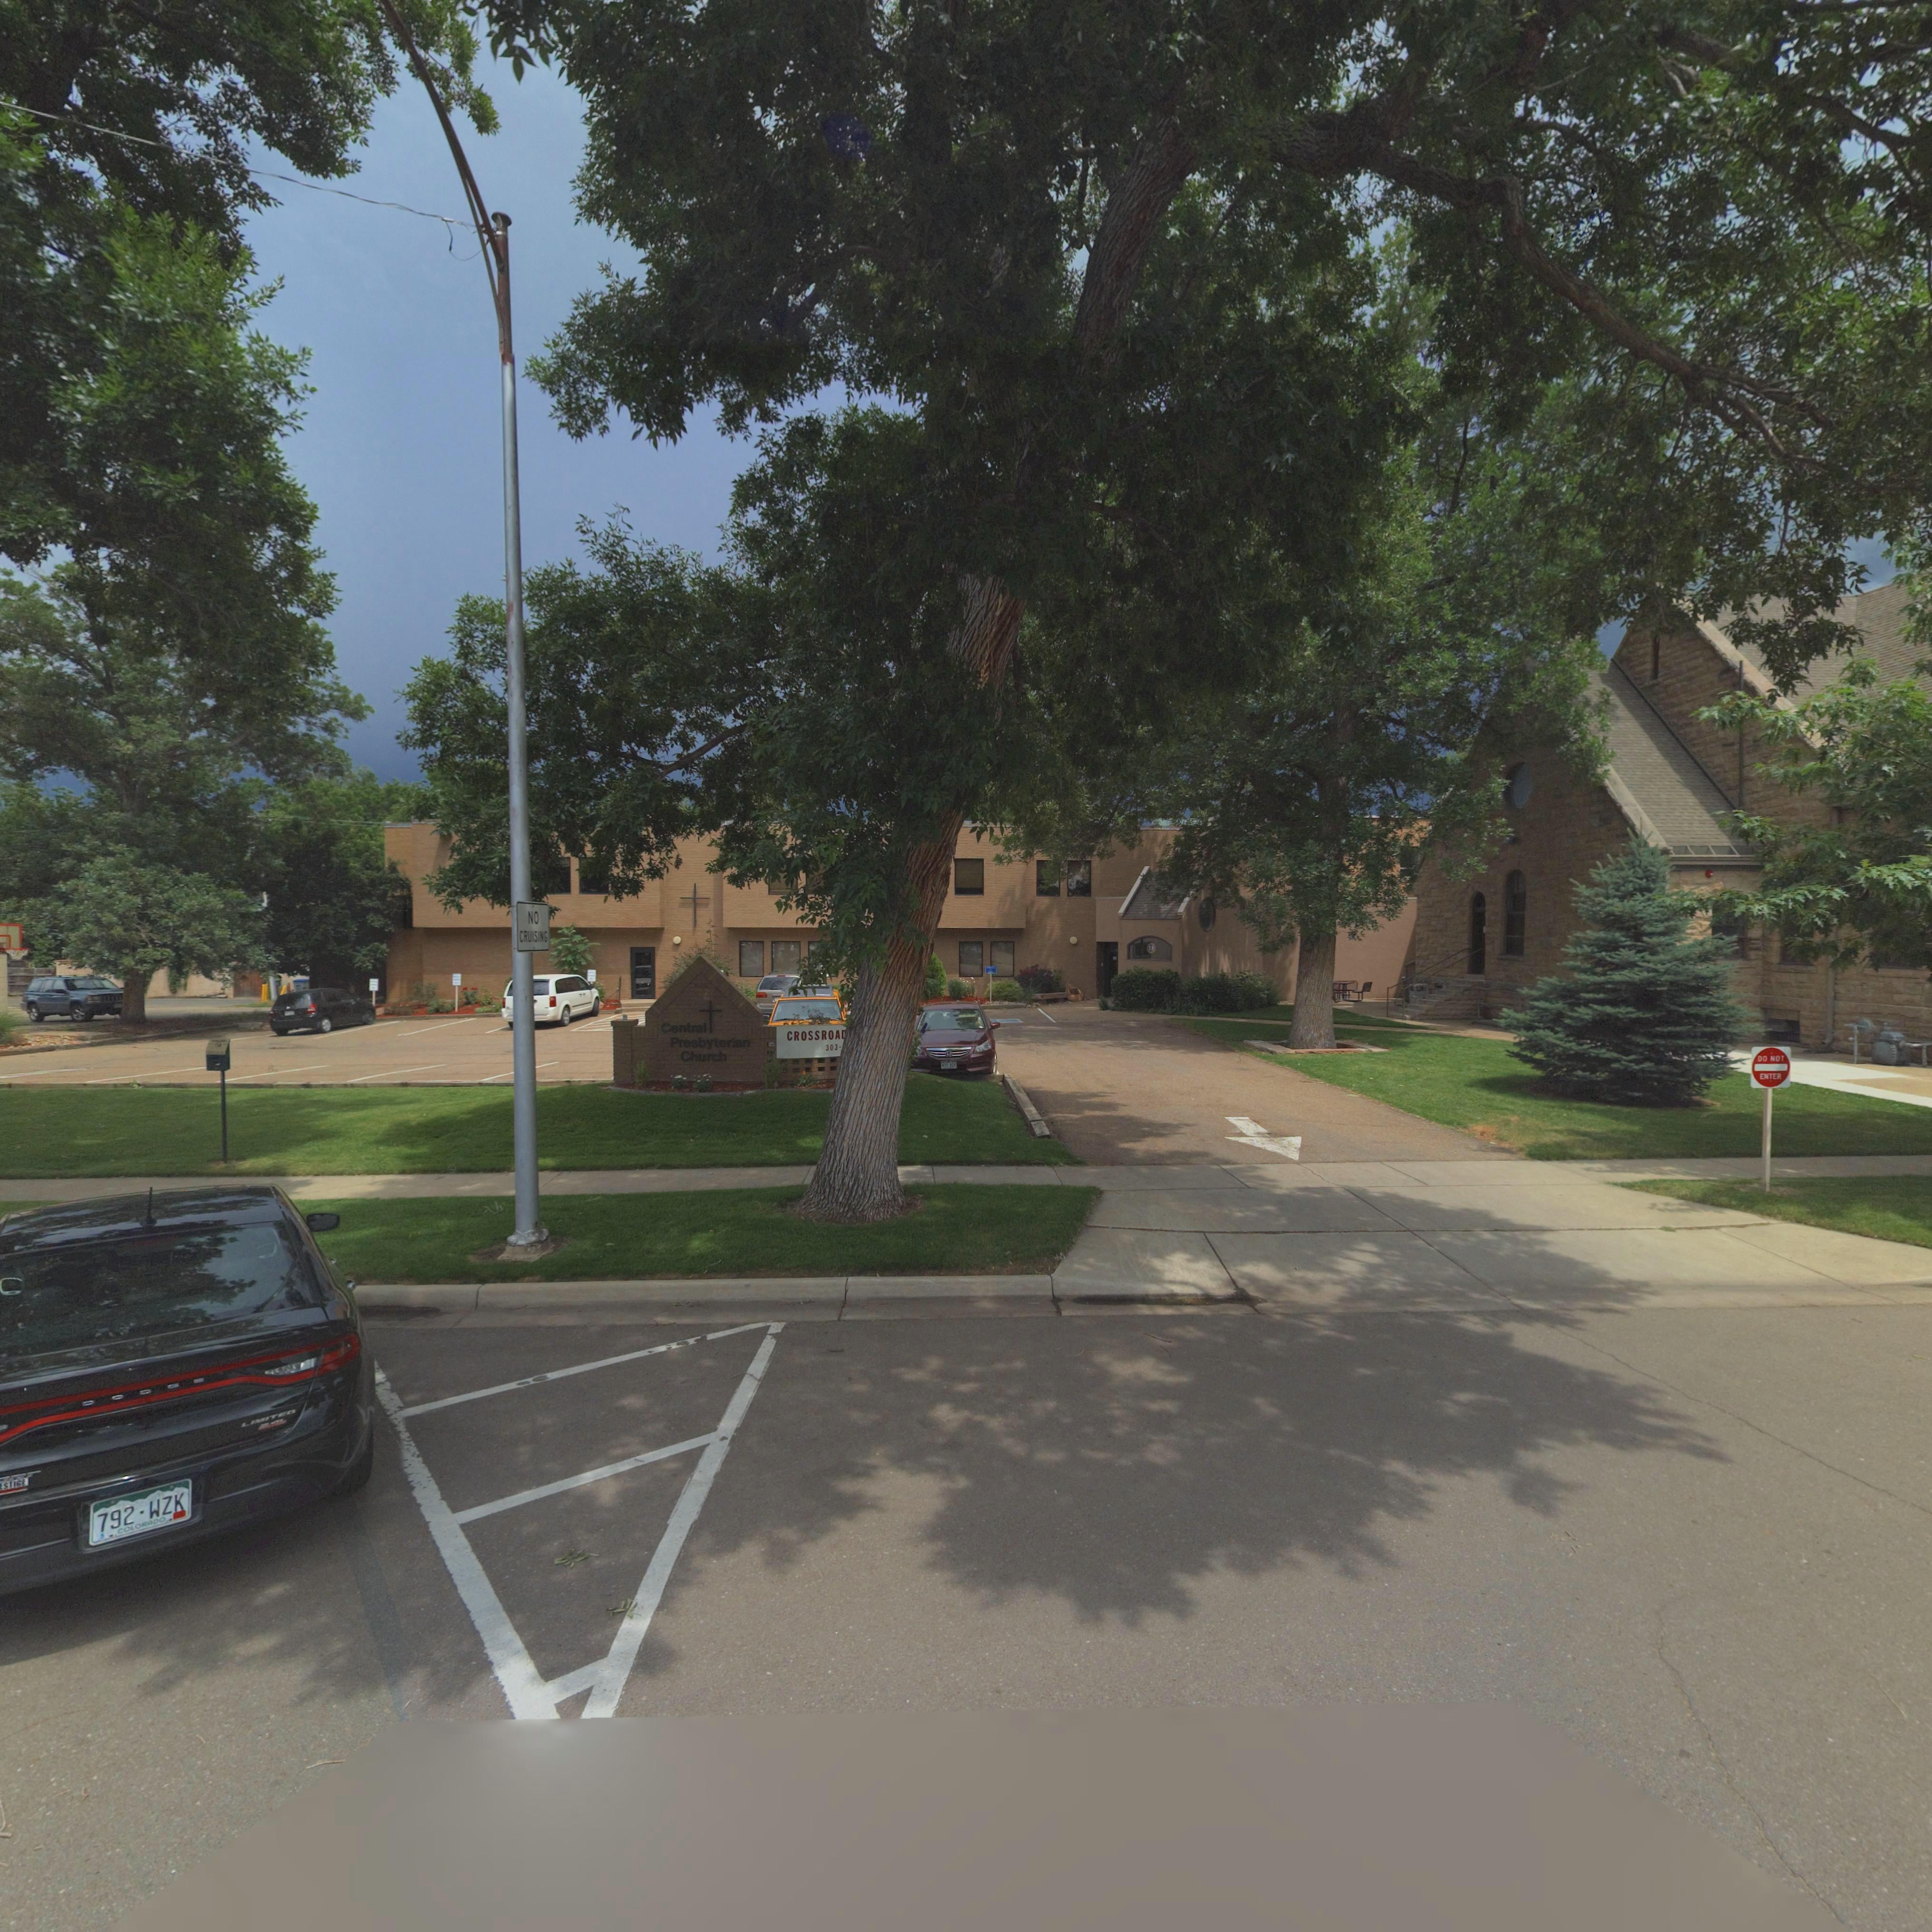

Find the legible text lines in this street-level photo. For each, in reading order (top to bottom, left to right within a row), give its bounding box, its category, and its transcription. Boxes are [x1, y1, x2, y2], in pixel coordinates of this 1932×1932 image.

[660, 1021, 708, 1033] BusinessName: Central 
[670, 1036, 750, 1050] BusinessName: Presbyterian
[680, 1050, 728, 1062] BusinessName: Church